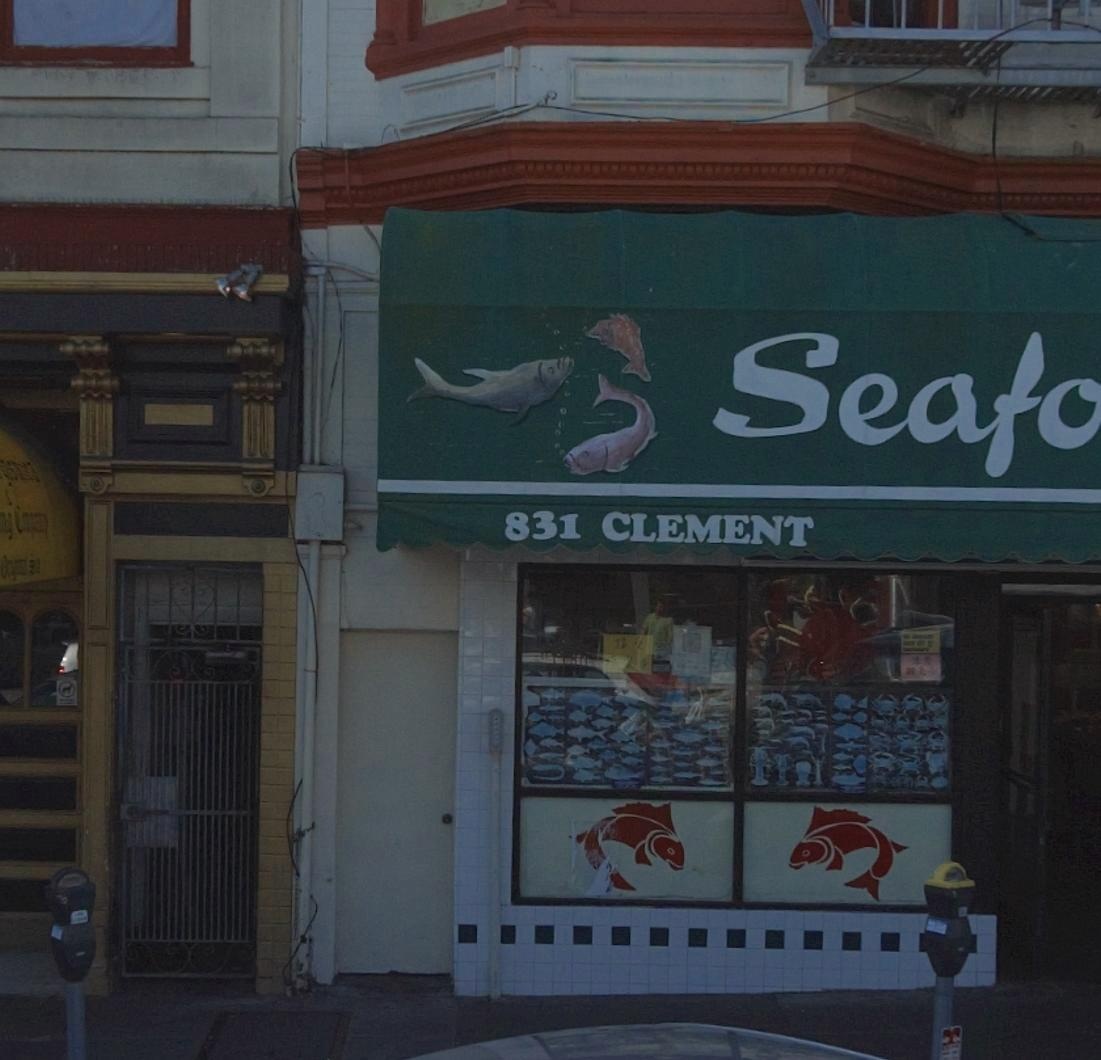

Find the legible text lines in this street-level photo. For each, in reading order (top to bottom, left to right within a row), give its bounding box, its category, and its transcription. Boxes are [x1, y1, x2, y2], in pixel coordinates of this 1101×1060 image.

[702, 324, 1101, 480] BusinessName: Seafo
[503, 509, 582, 544] StreetNumber: 831
[600, 507, 816, 550] StreetName: CLEMENT